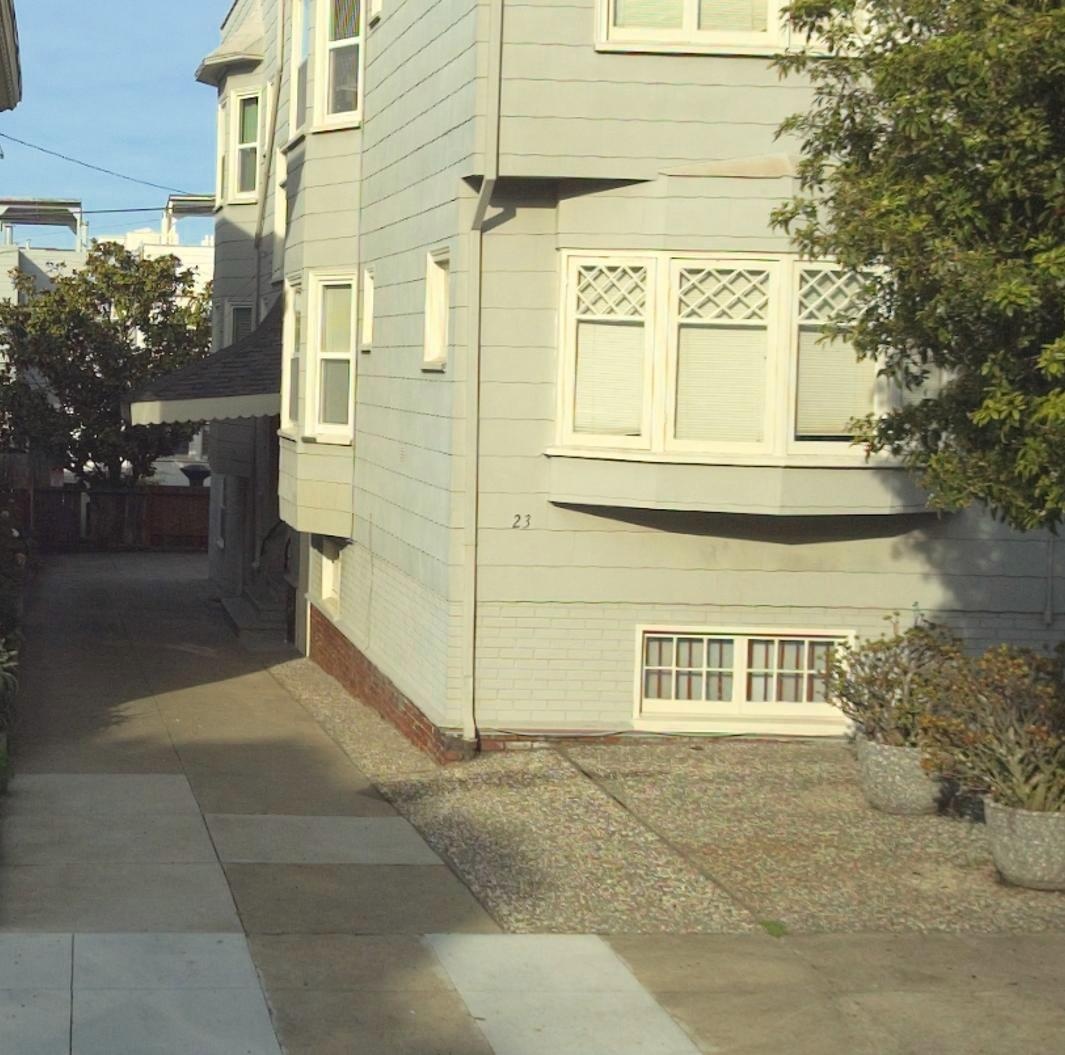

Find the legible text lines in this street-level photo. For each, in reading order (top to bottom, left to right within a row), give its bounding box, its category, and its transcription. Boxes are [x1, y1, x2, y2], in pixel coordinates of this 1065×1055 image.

[509, 512, 534, 531] StreetNumber: 23